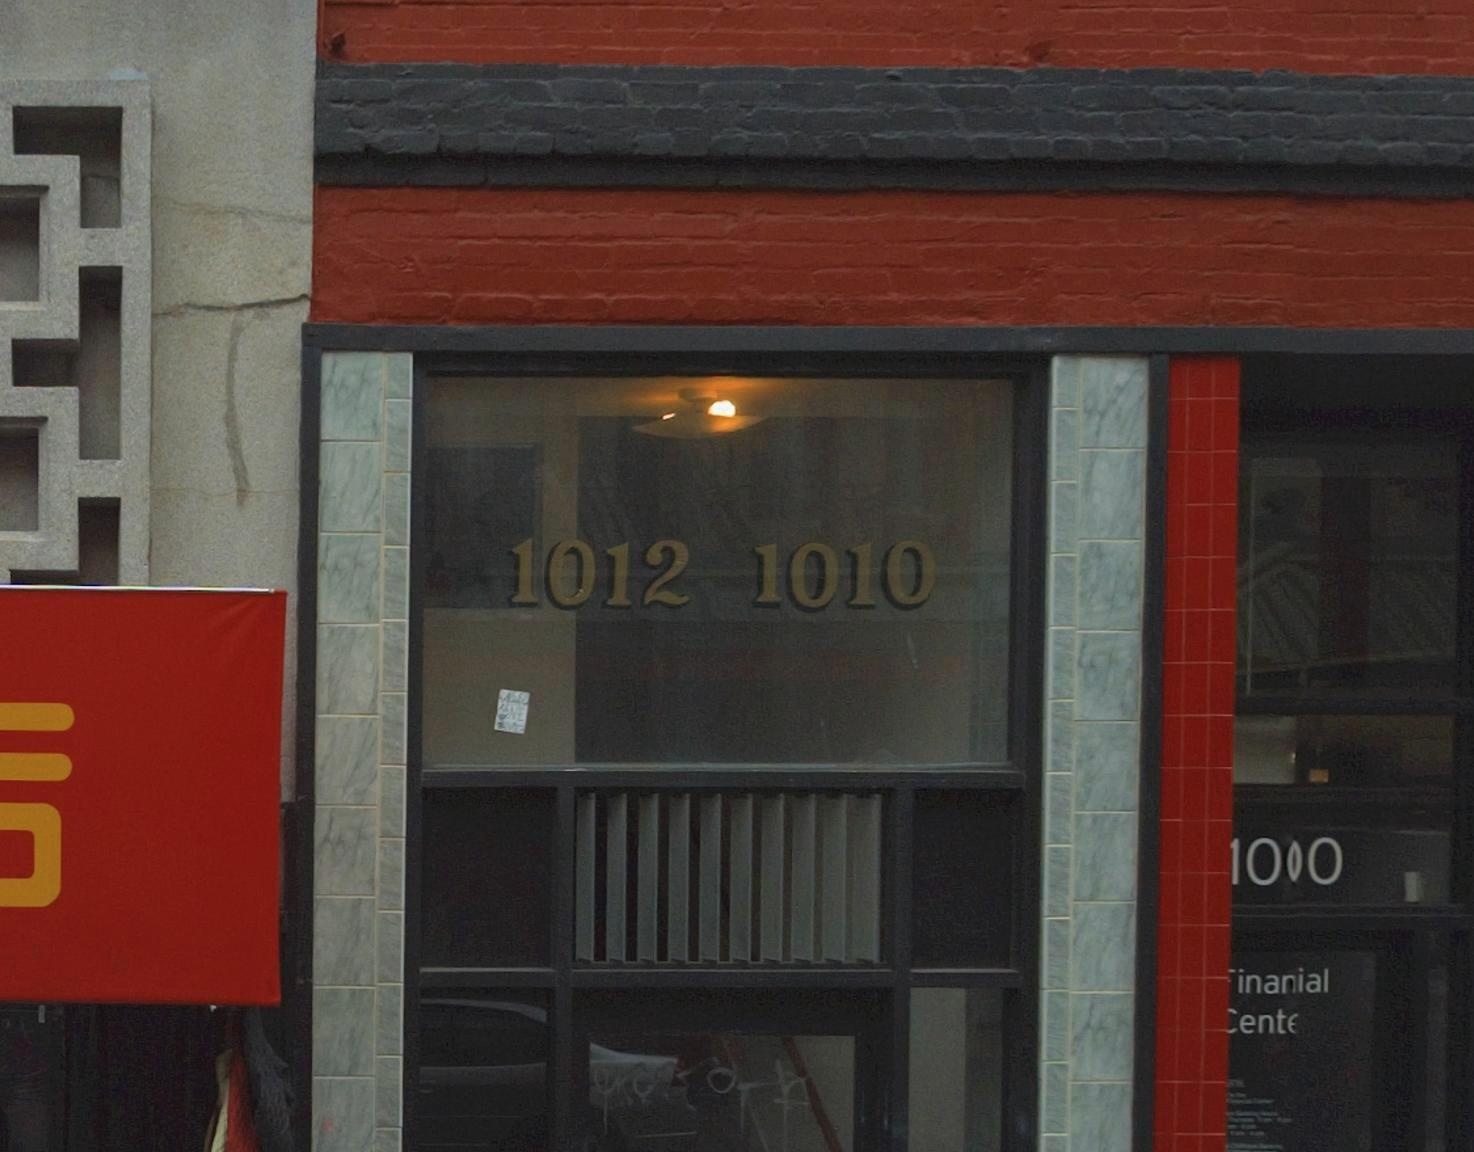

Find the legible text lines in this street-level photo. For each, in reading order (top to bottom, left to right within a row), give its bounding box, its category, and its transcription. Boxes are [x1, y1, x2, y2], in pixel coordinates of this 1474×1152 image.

[502, 533, 698, 616] StreetNumber: 1012
[746, 534, 942, 616] StreetNumber: 1010
[1226, 832, 1348, 894] StreetNumber: 1000
[1235, 962, 1333, 999] None: inanial
[1236, 1003, 1292, 1040] None: ent